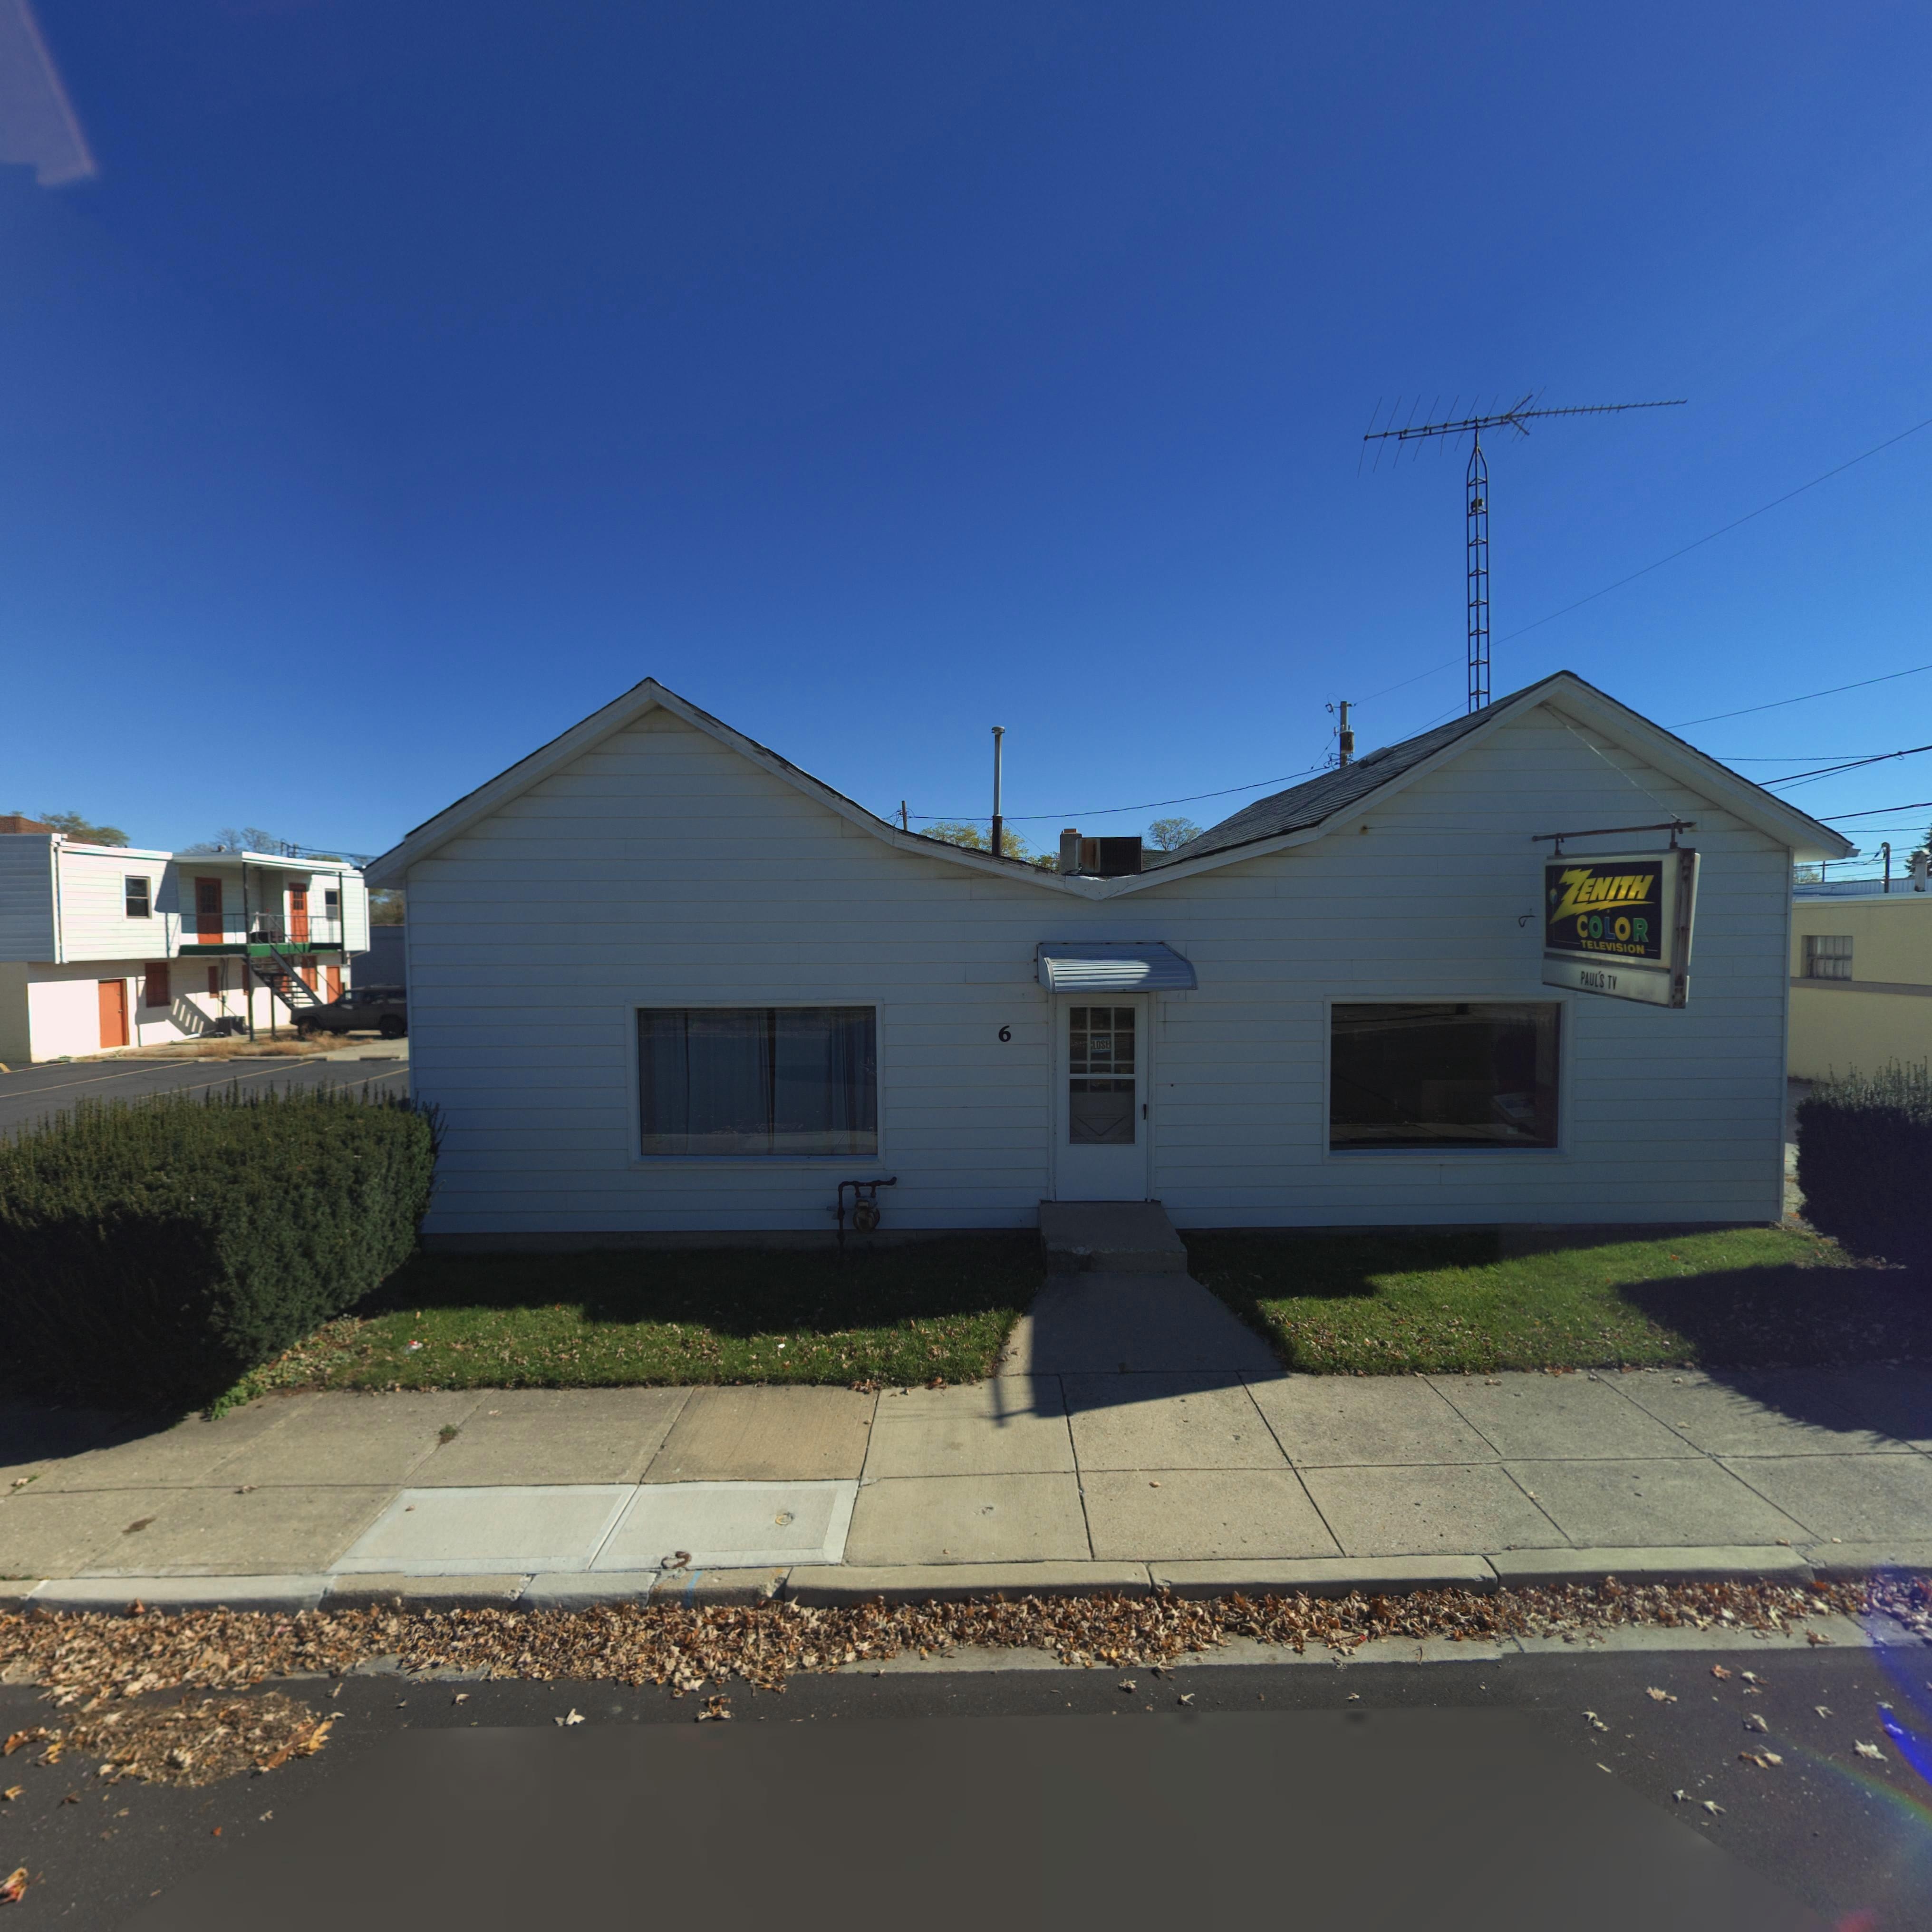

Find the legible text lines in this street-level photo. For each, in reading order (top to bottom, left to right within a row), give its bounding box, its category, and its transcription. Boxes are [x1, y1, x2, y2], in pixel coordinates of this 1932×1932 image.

[1547, 865, 1657, 927] BusinessName: ZENITH
[1575, 913, 1650, 944] None: COLOR
[1580, 938, 1646, 956] None: TELEVISION
[1579, 969, 1619, 992] None: PAUL'S TV
[998, 1025, 1011, 1042] StreetNumber: 6